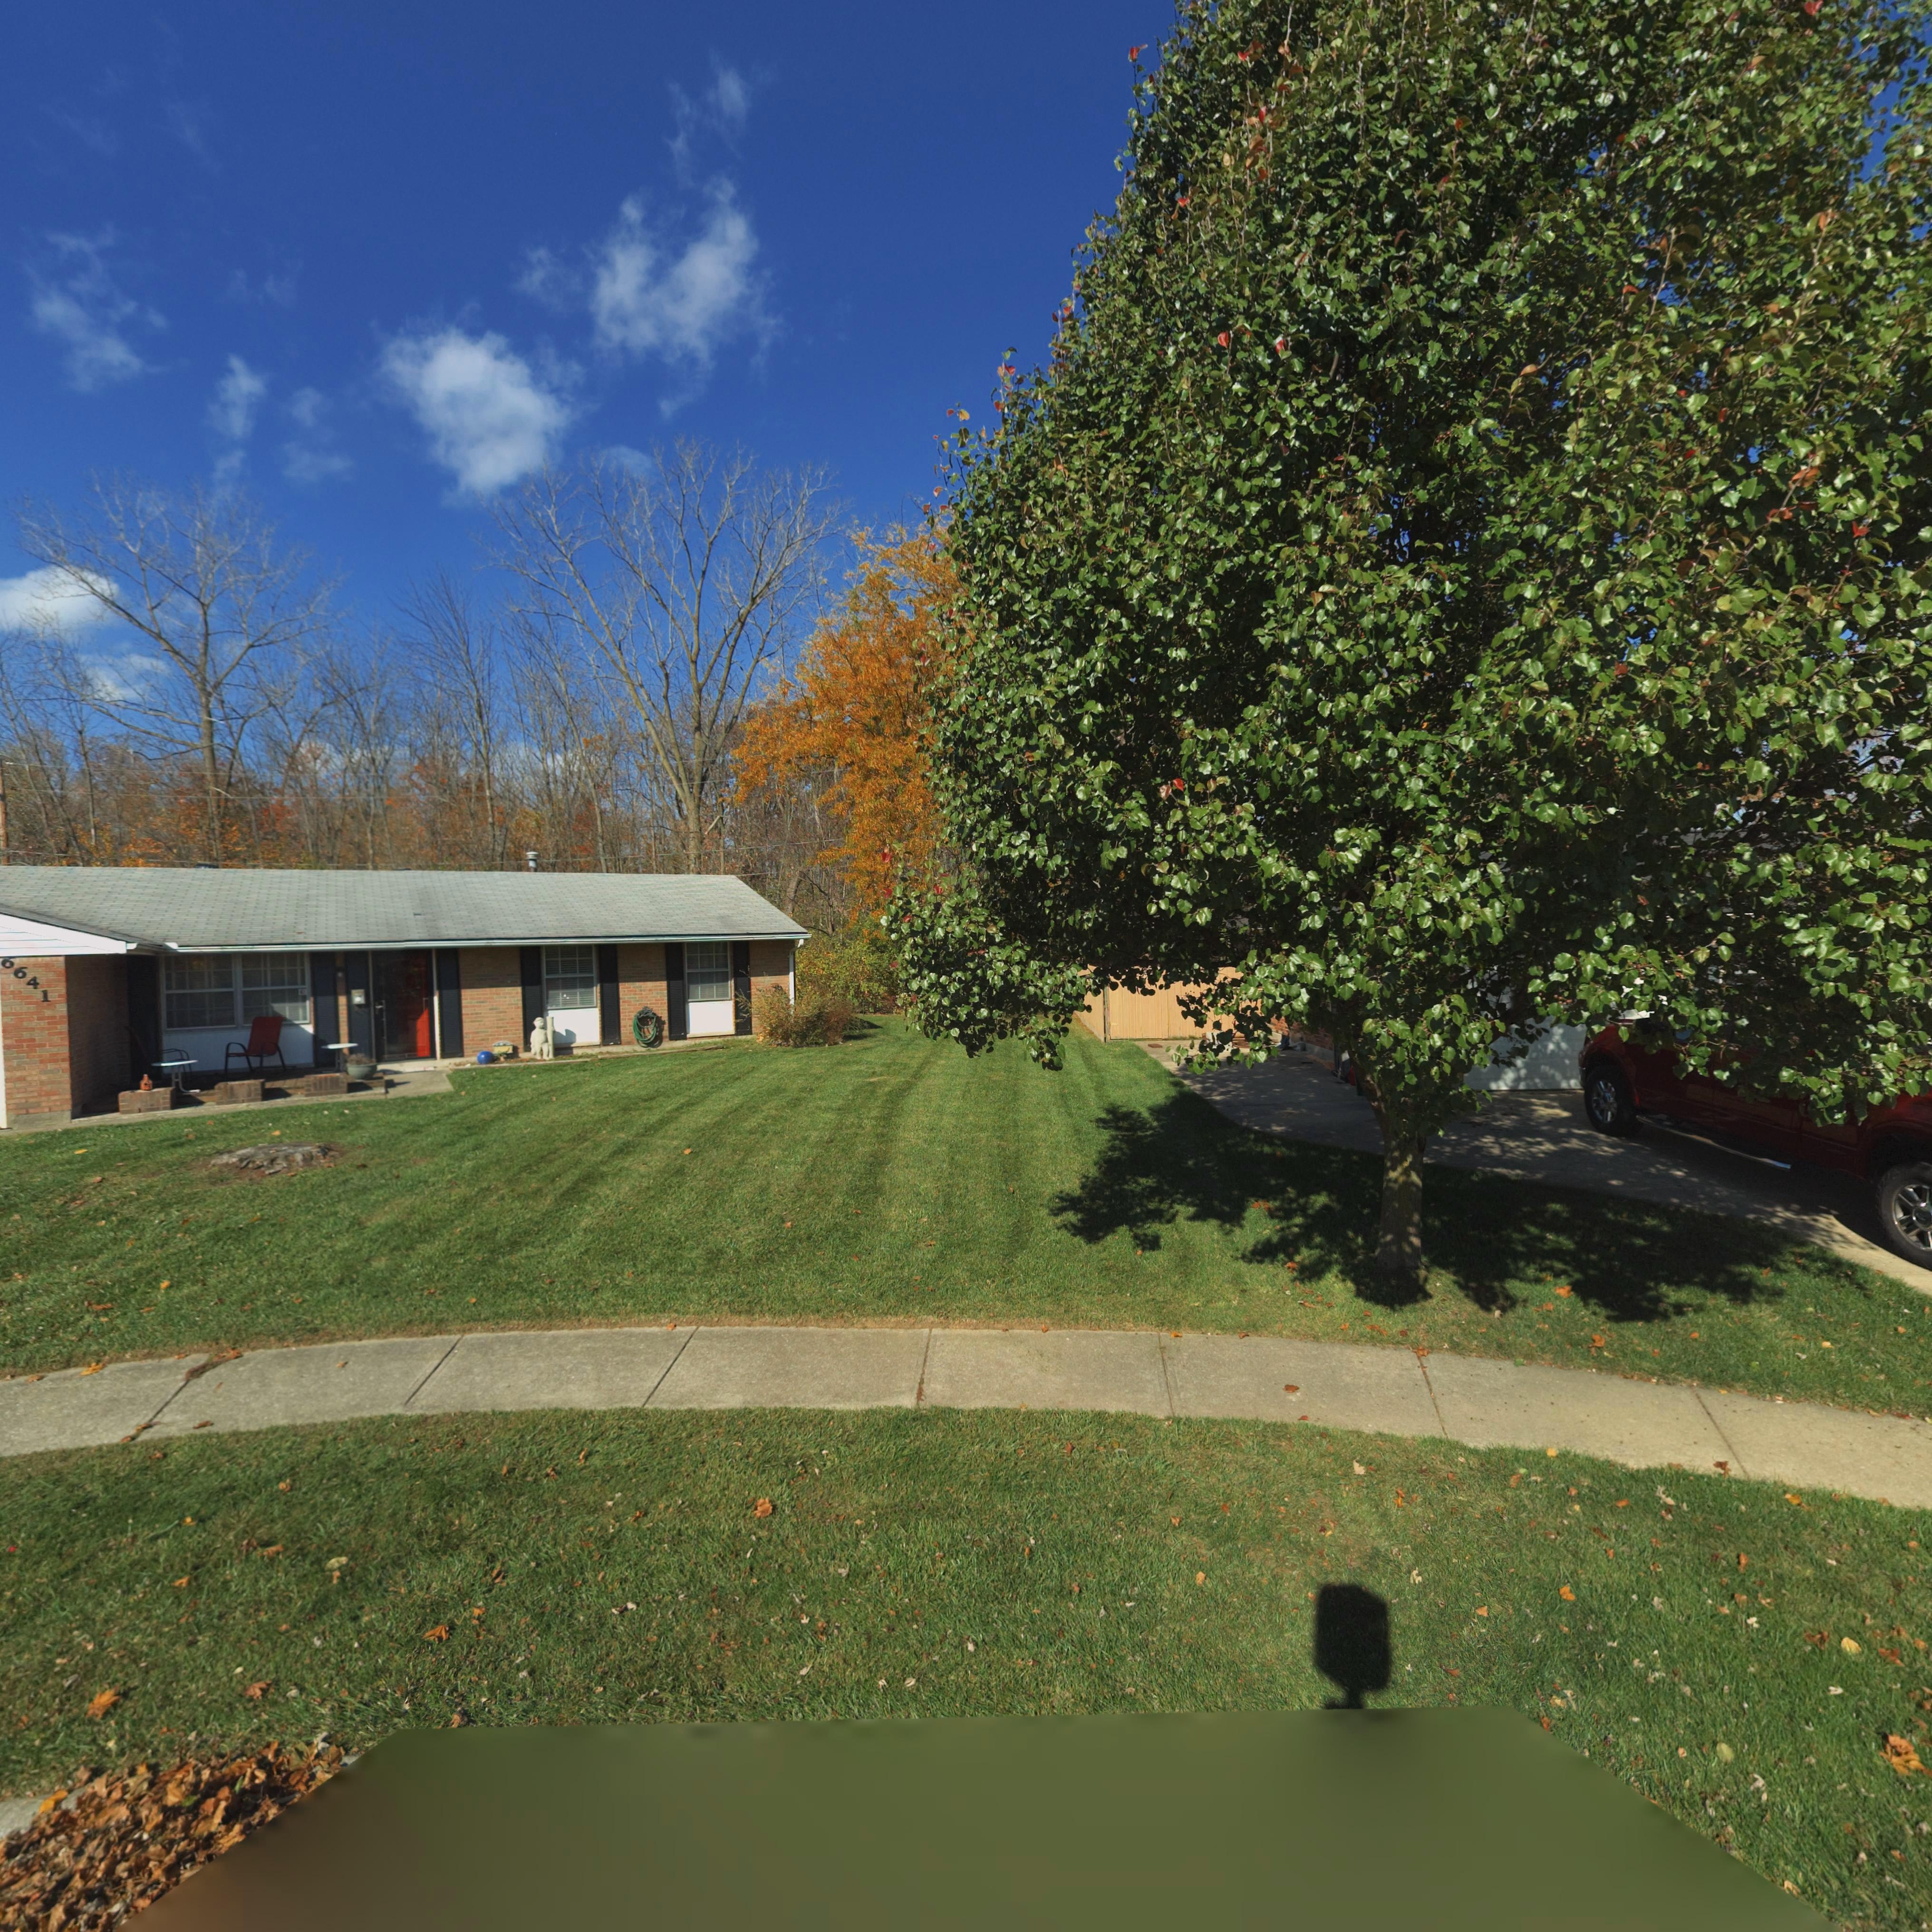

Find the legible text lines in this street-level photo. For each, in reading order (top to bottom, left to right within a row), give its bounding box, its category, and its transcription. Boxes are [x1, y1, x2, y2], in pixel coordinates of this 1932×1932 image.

[0, 956, 52, 1003] StreetNumber: 6641